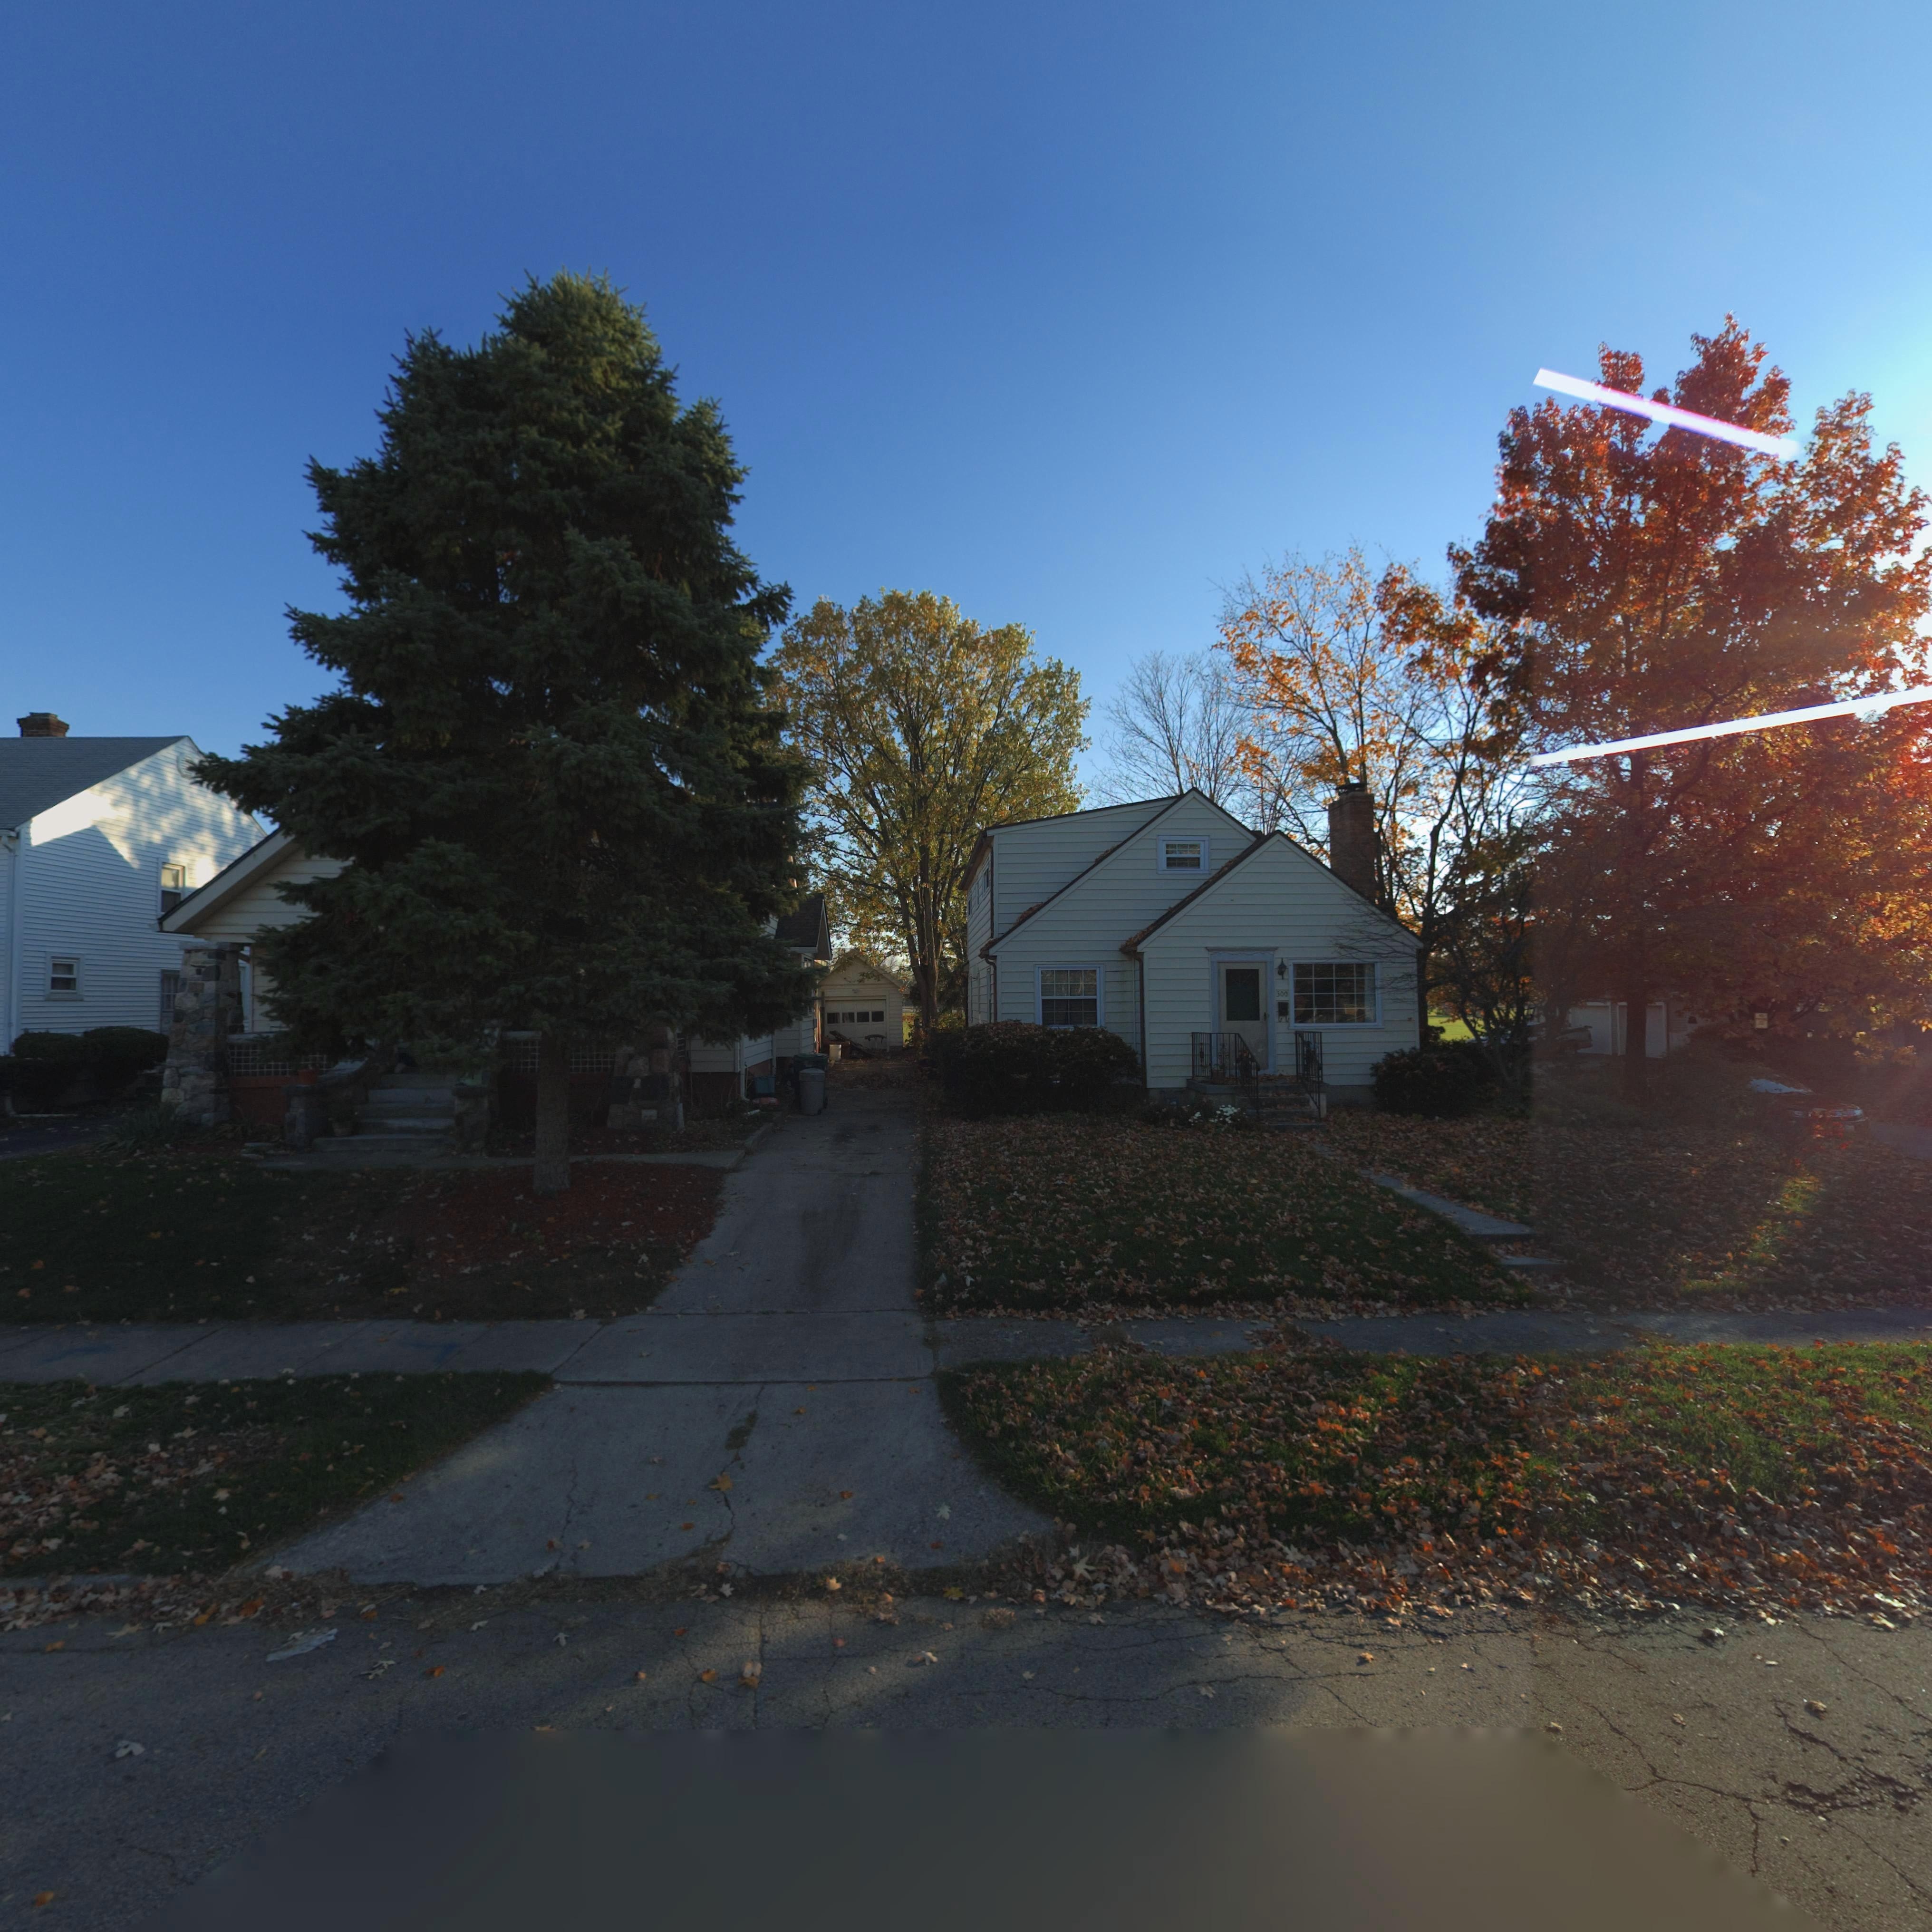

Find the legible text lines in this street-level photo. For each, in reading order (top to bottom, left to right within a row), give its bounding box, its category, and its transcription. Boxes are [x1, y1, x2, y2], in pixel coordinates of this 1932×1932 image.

[1276, 991, 1288, 997] StreetNumber: 300